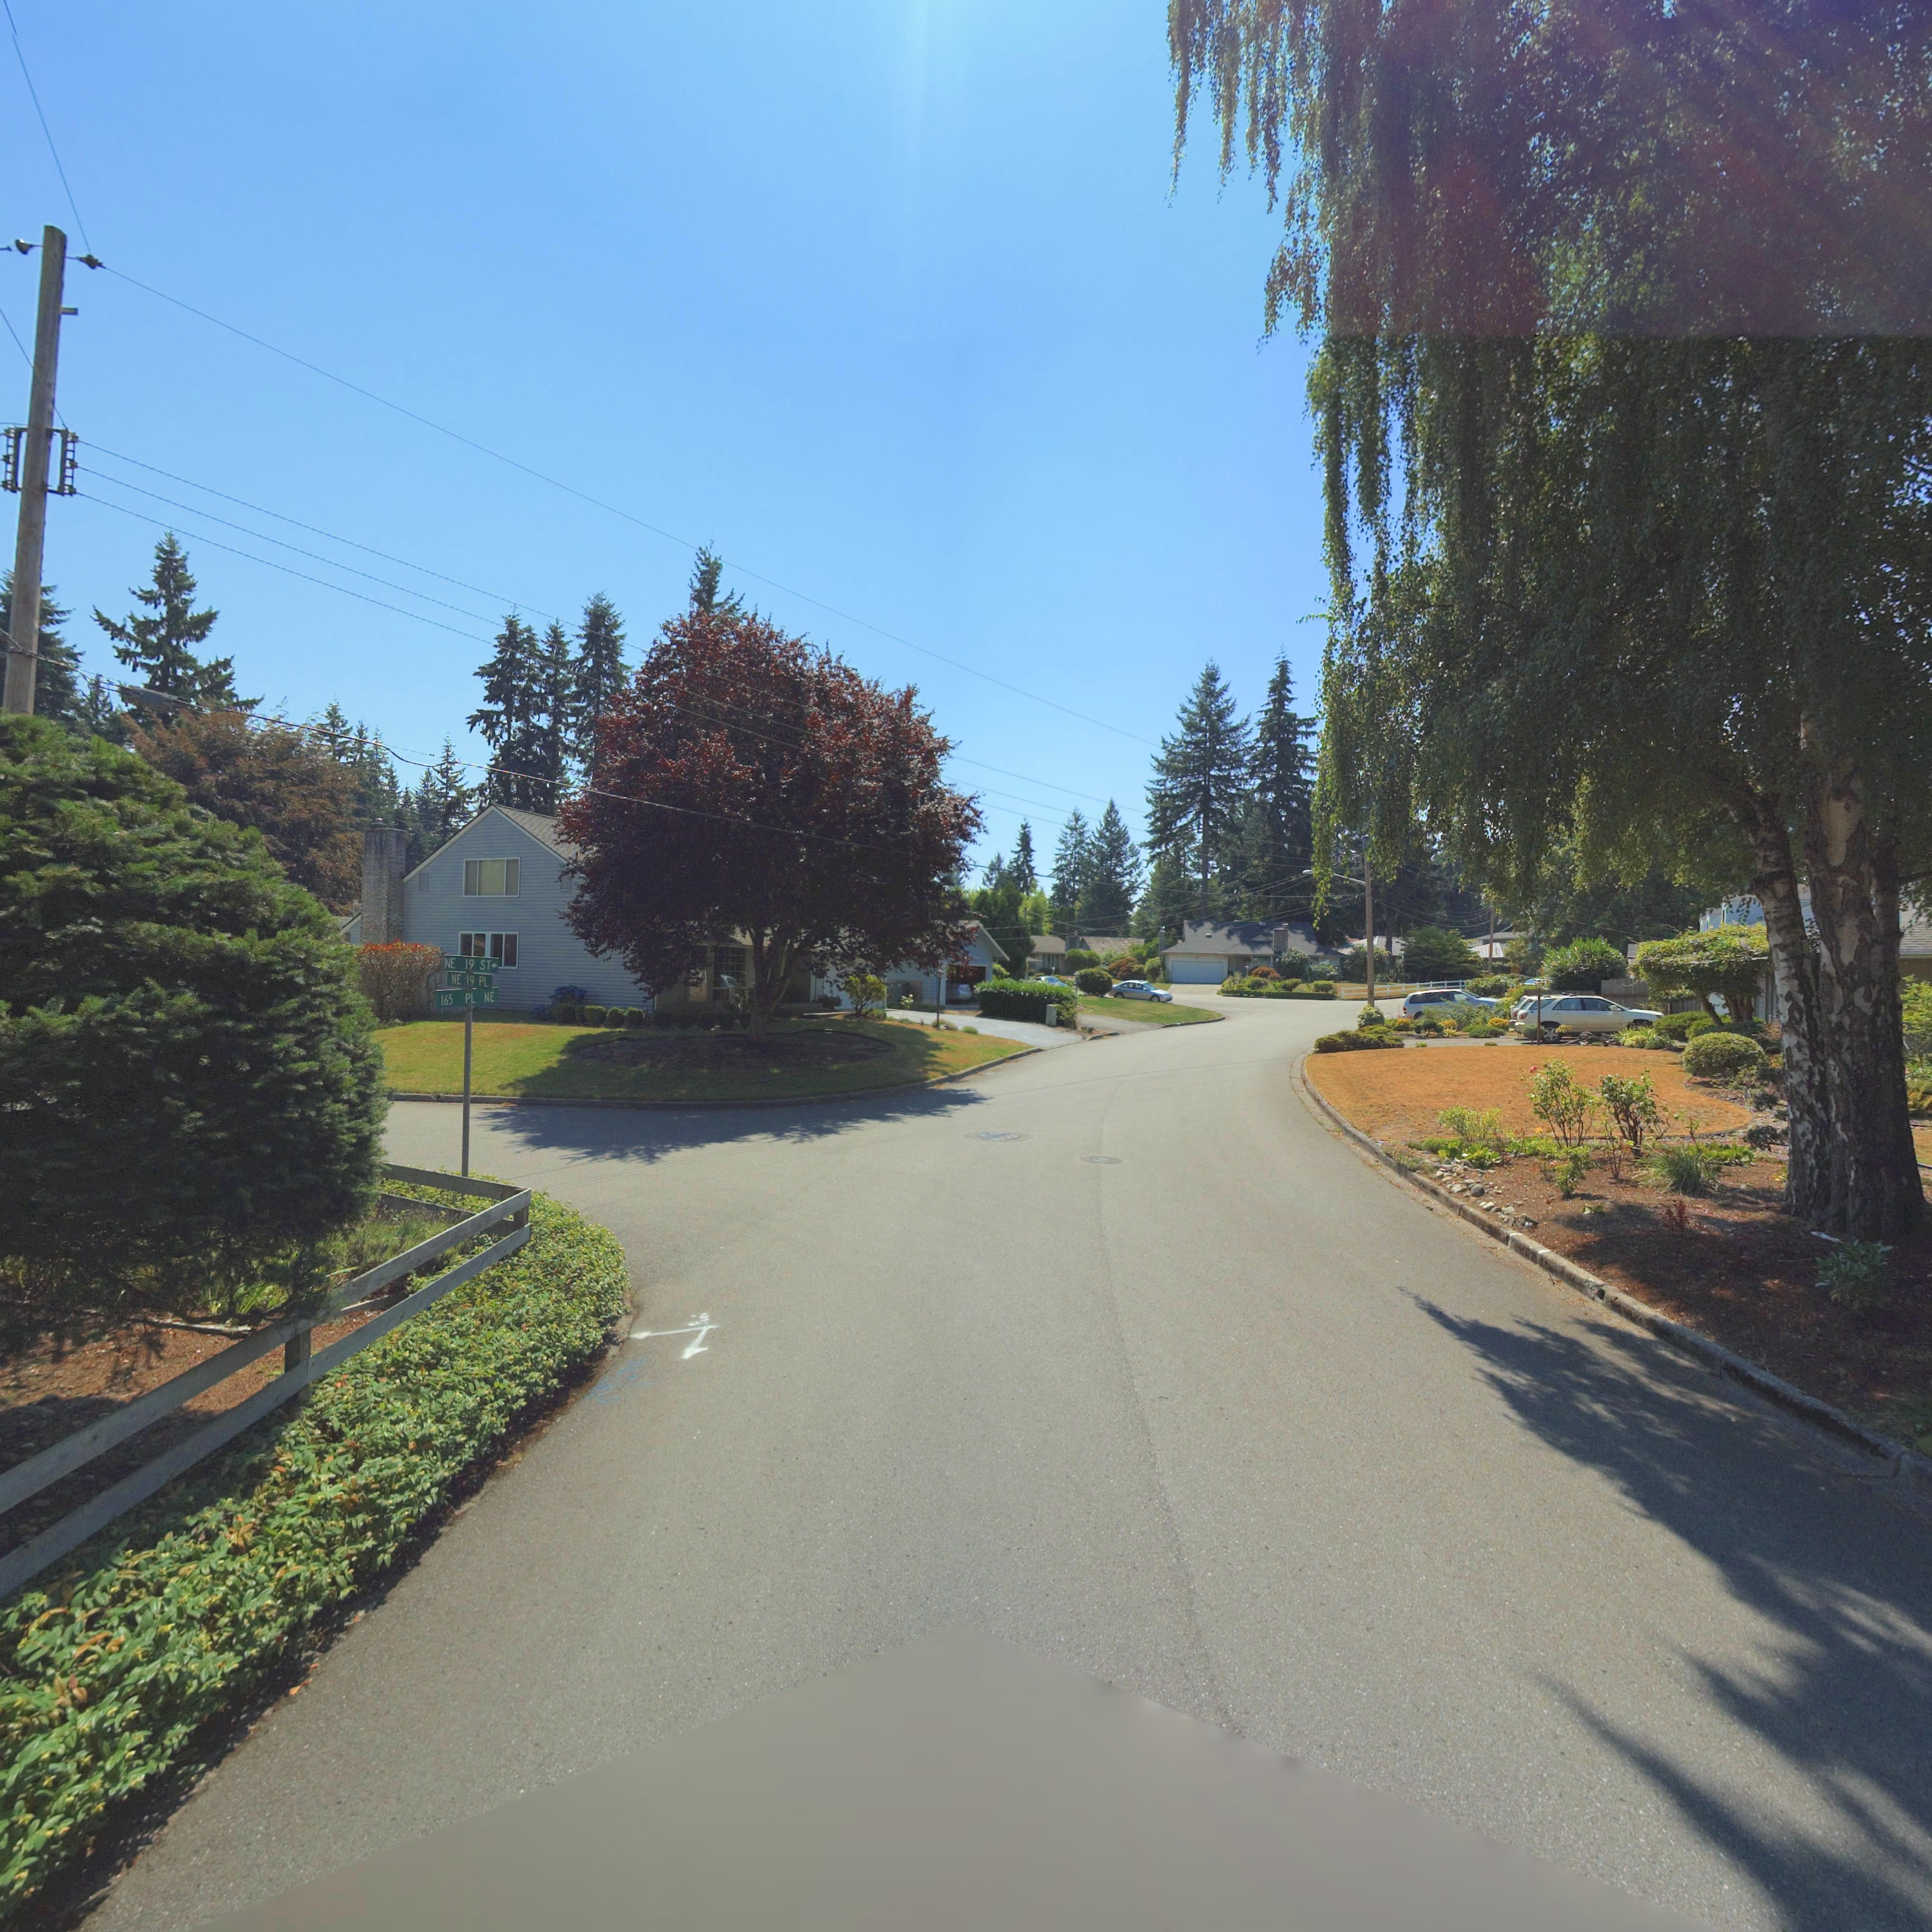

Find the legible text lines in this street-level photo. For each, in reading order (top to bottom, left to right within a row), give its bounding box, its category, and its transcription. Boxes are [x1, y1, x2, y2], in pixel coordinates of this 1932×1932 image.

[444, 955, 498, 972] StreetName: NE 19 ST ->
[447, 970, 492, 989] StreetName: NE 19 PL
[439, 990, 495, 1006] BusinessName: 165 PL NE